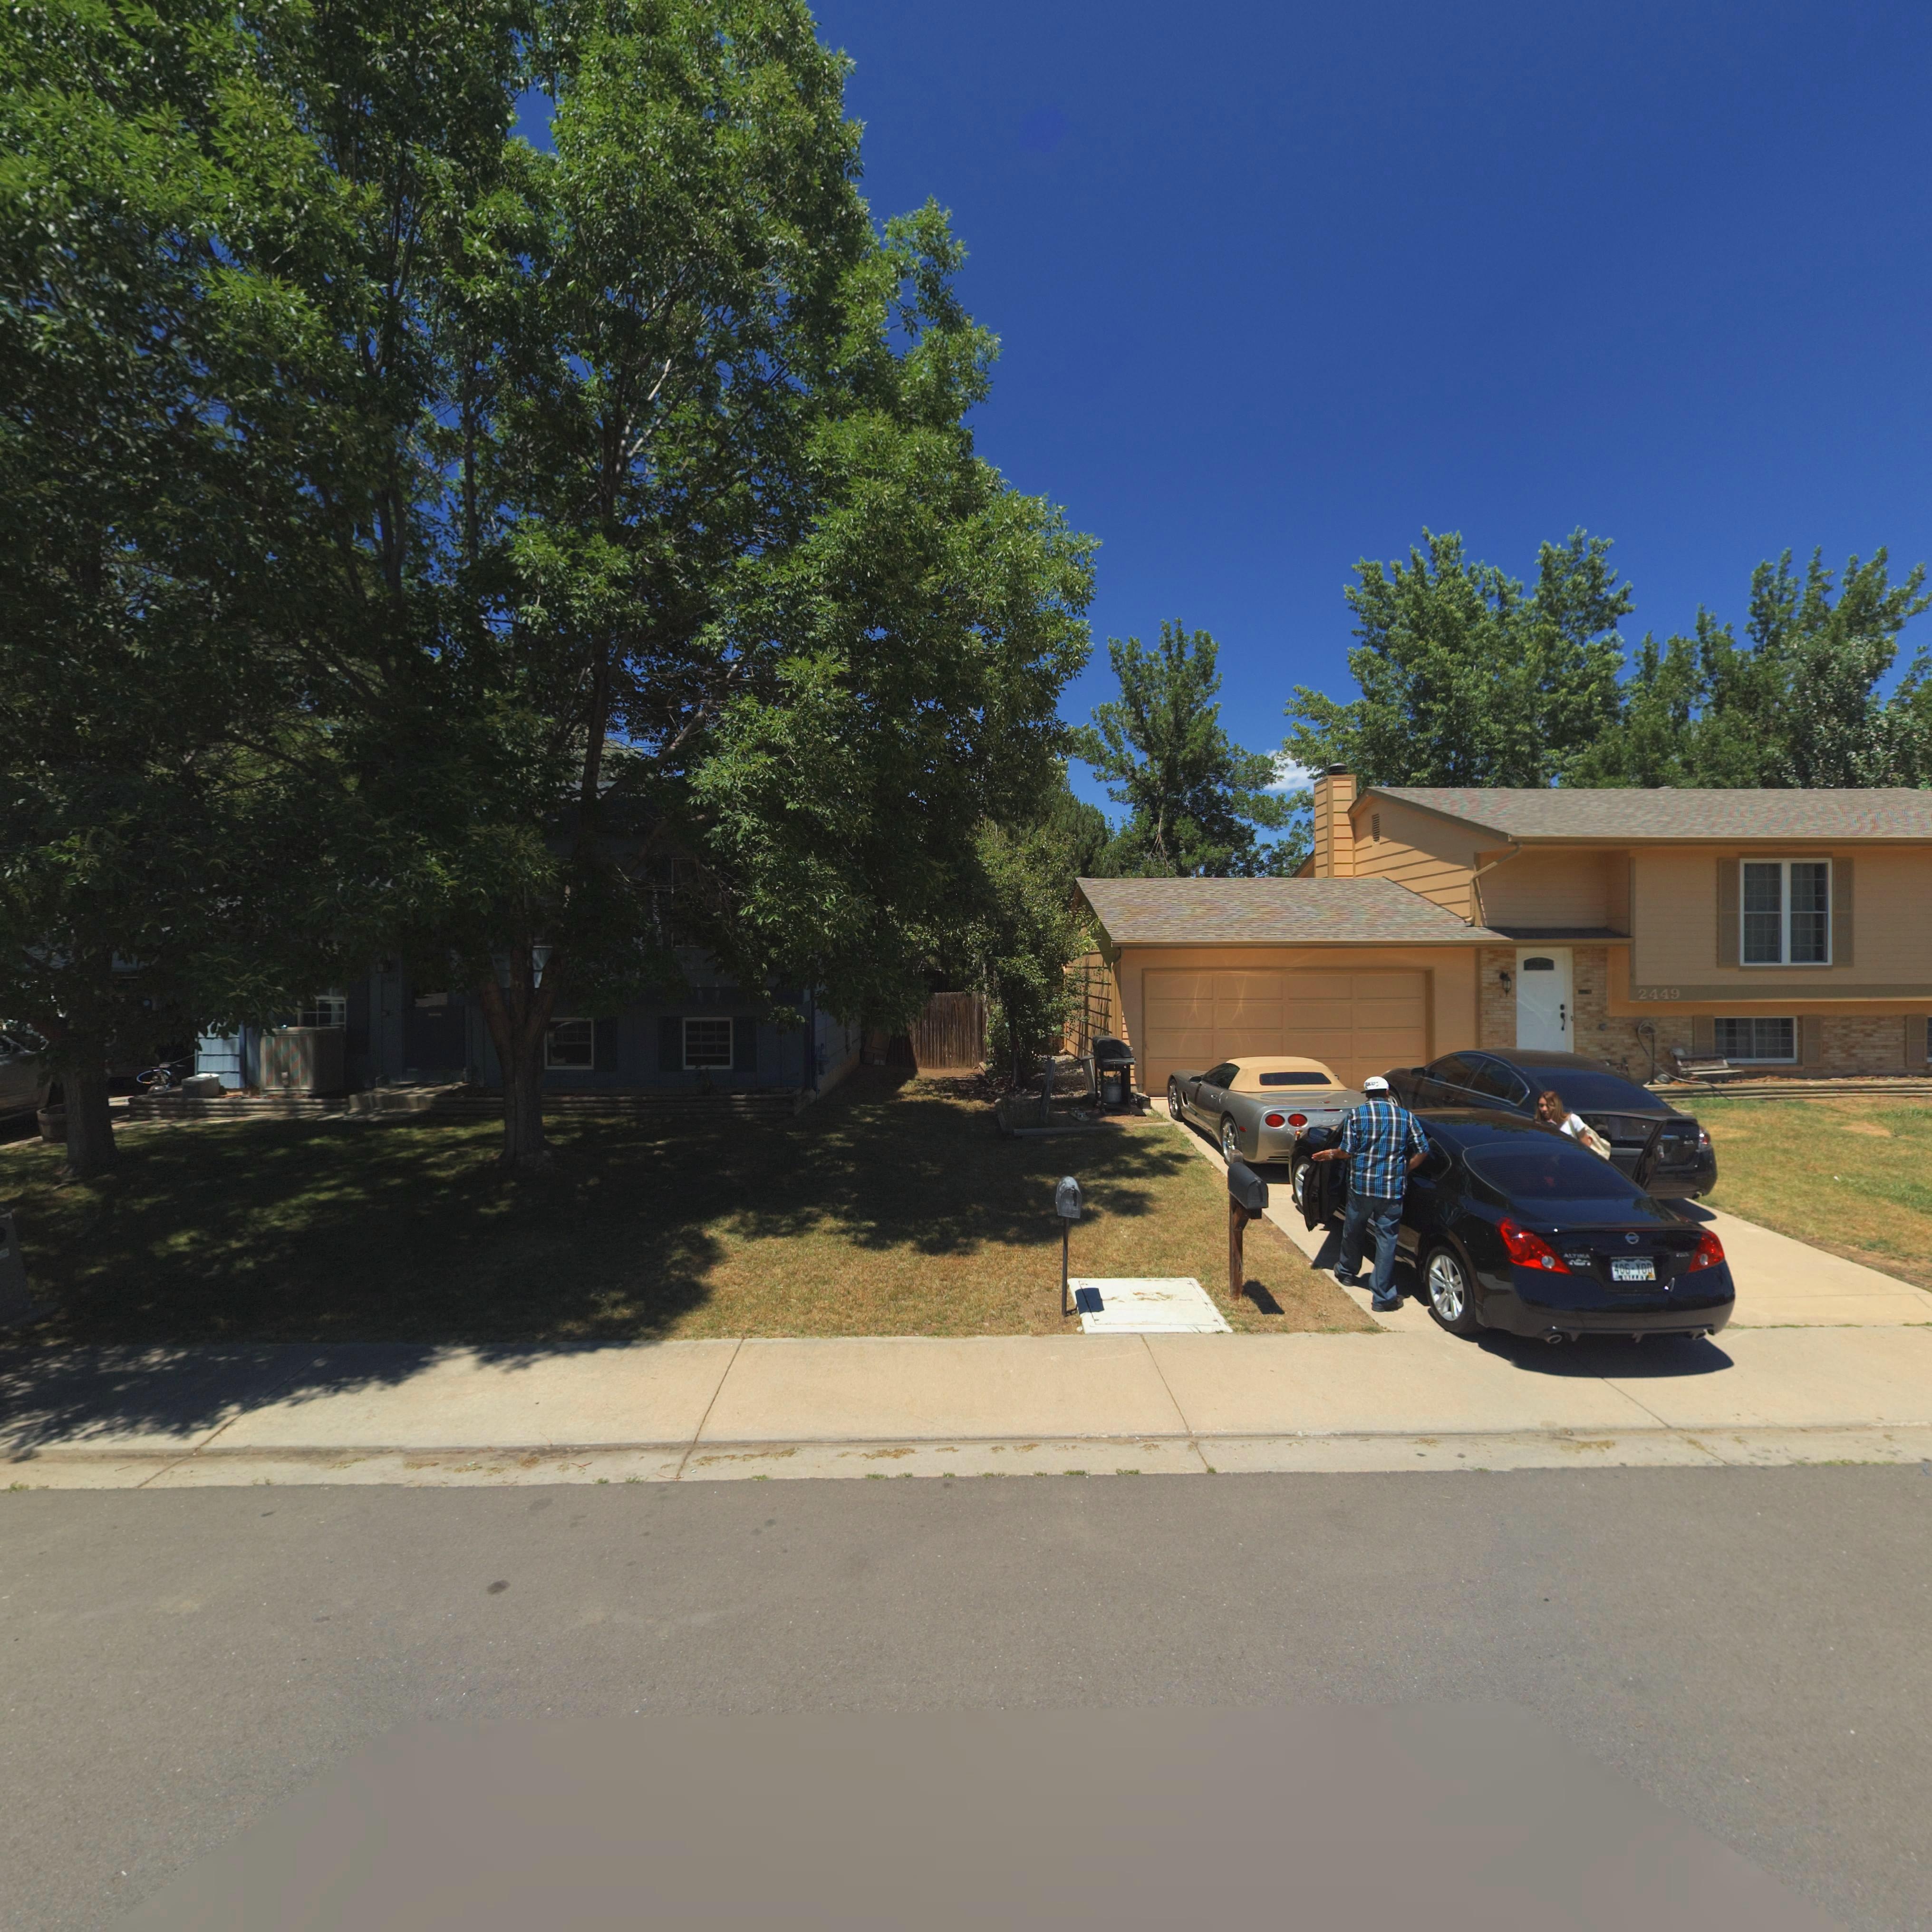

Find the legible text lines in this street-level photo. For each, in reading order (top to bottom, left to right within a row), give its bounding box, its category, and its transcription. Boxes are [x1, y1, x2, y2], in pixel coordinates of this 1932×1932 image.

[1637, 987, 1682, 1000] StreetNumber: 2449